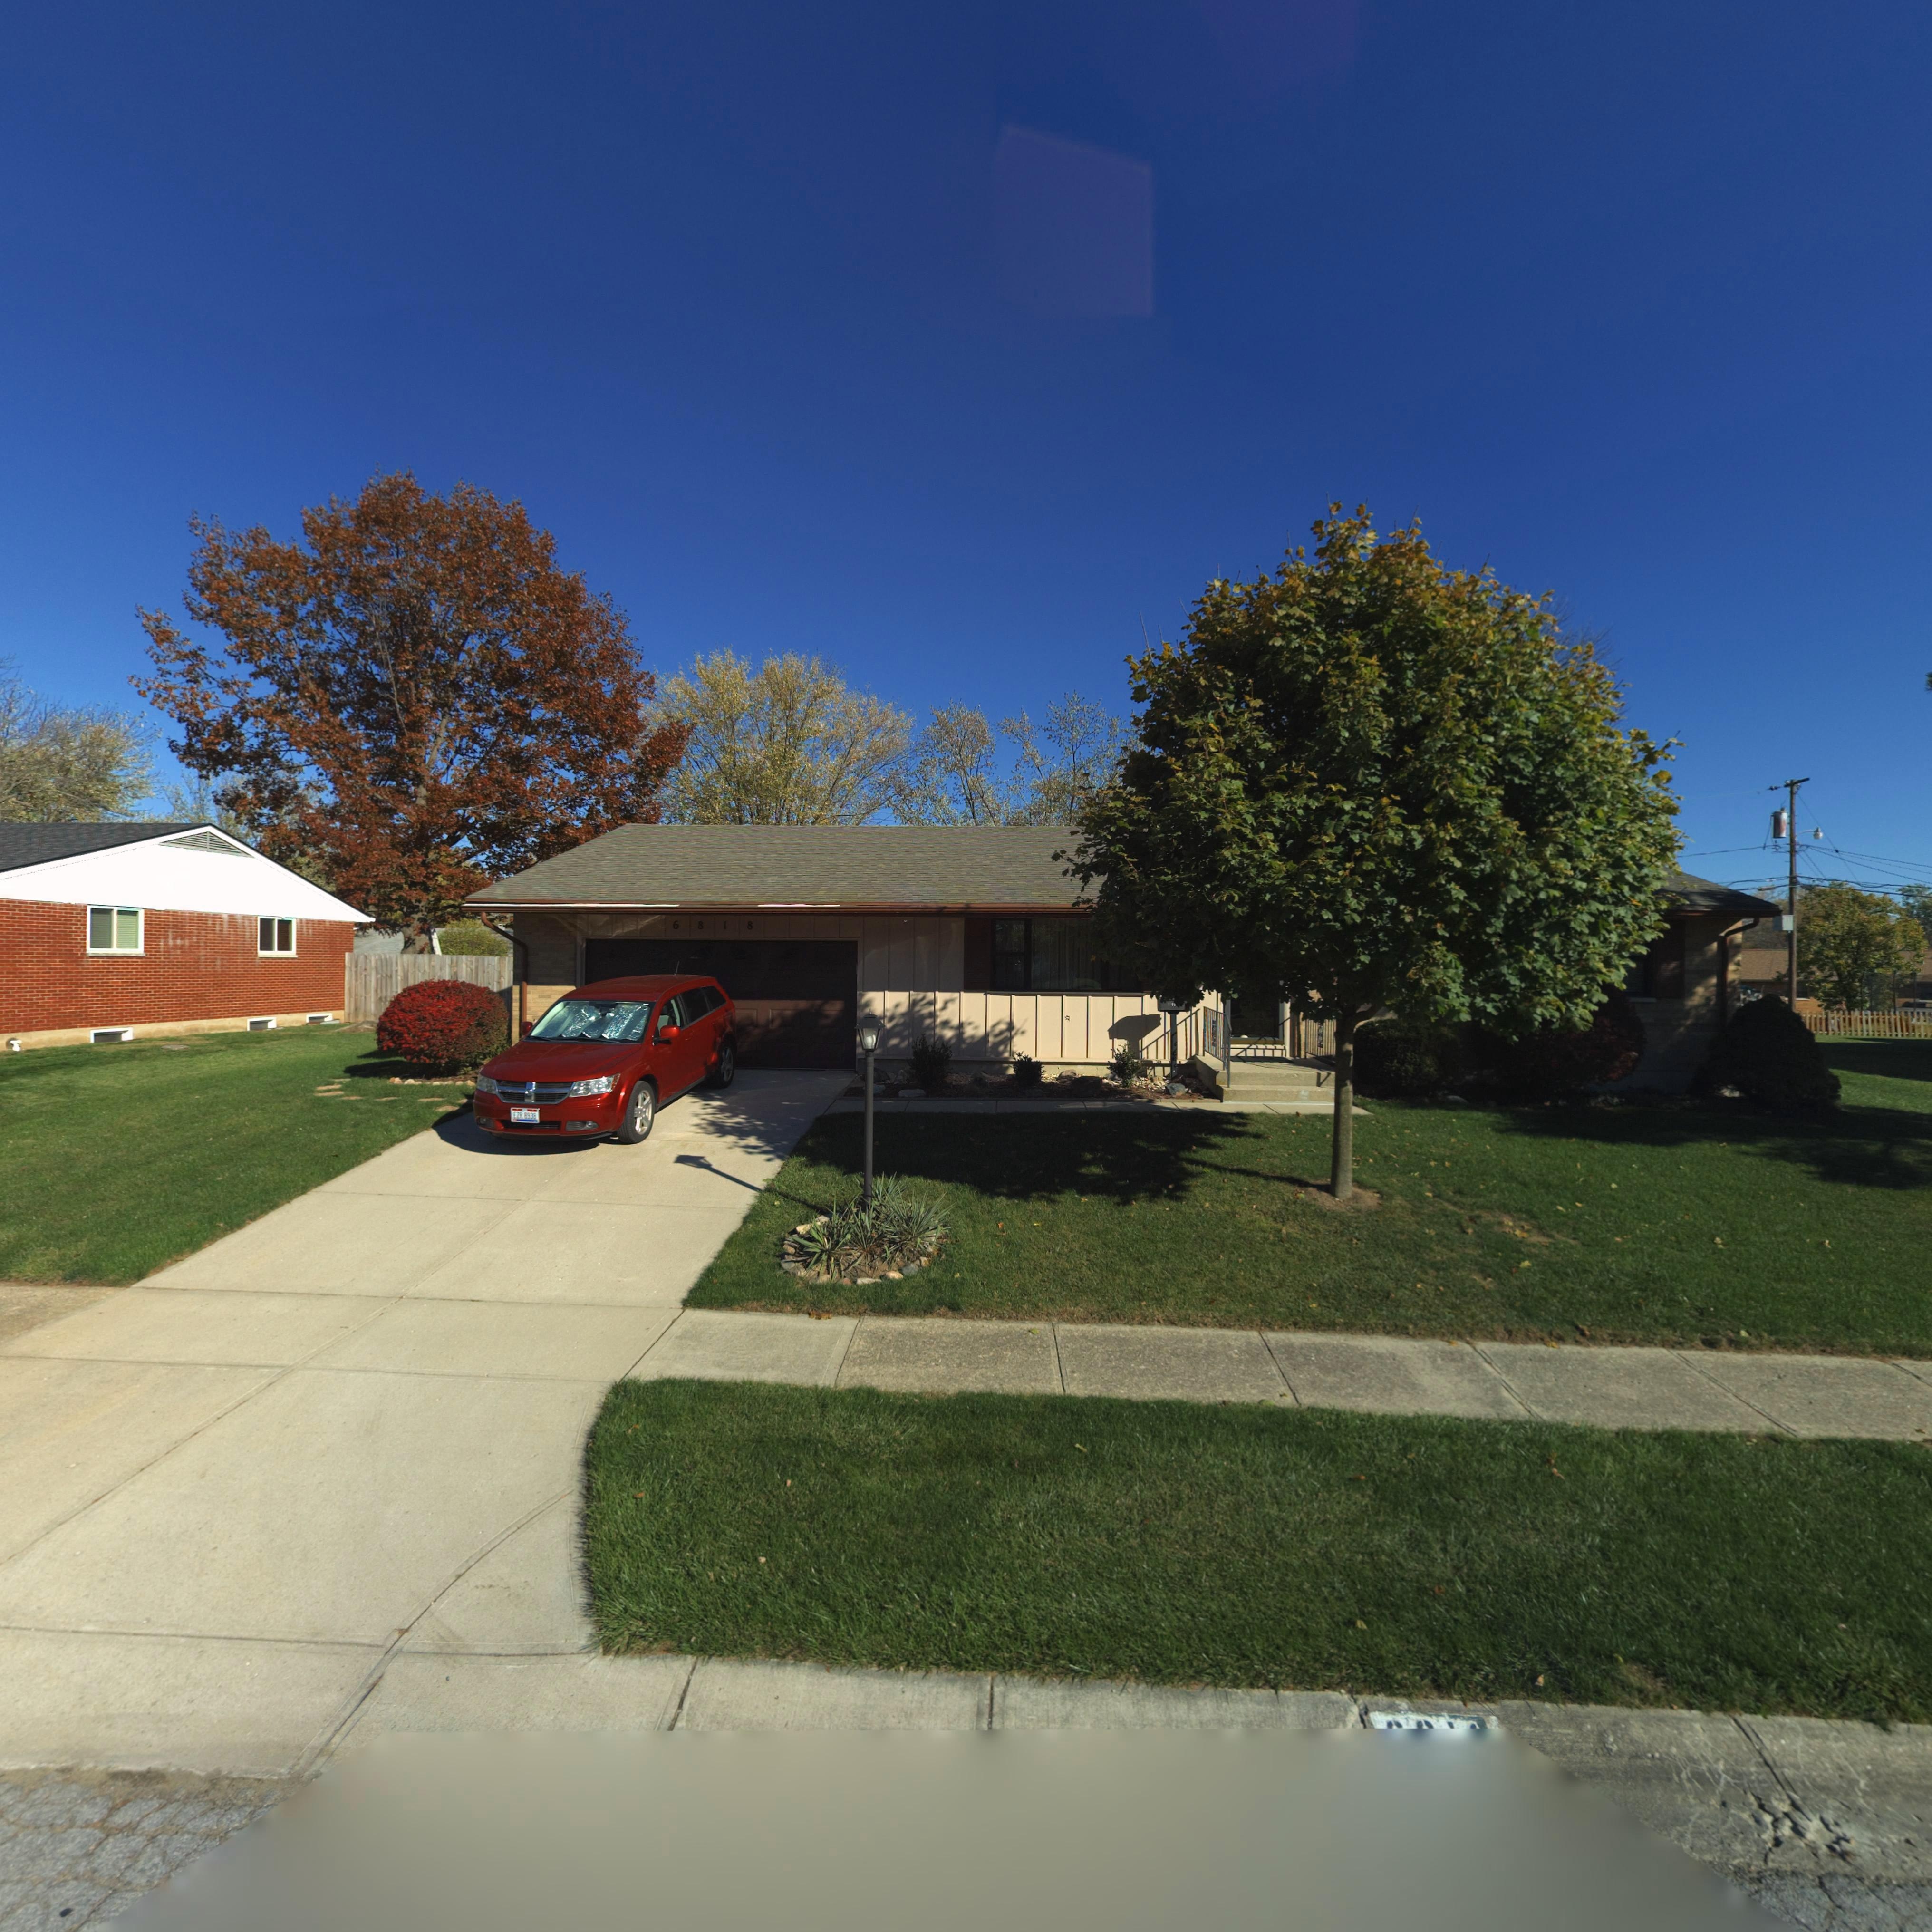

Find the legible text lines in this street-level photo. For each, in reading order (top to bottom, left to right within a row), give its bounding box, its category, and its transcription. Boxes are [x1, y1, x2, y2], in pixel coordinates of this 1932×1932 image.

[672, 920, 753, 930] StreetNumber: 6818
[512, 1111, 537, 1121] None: EZR*8938